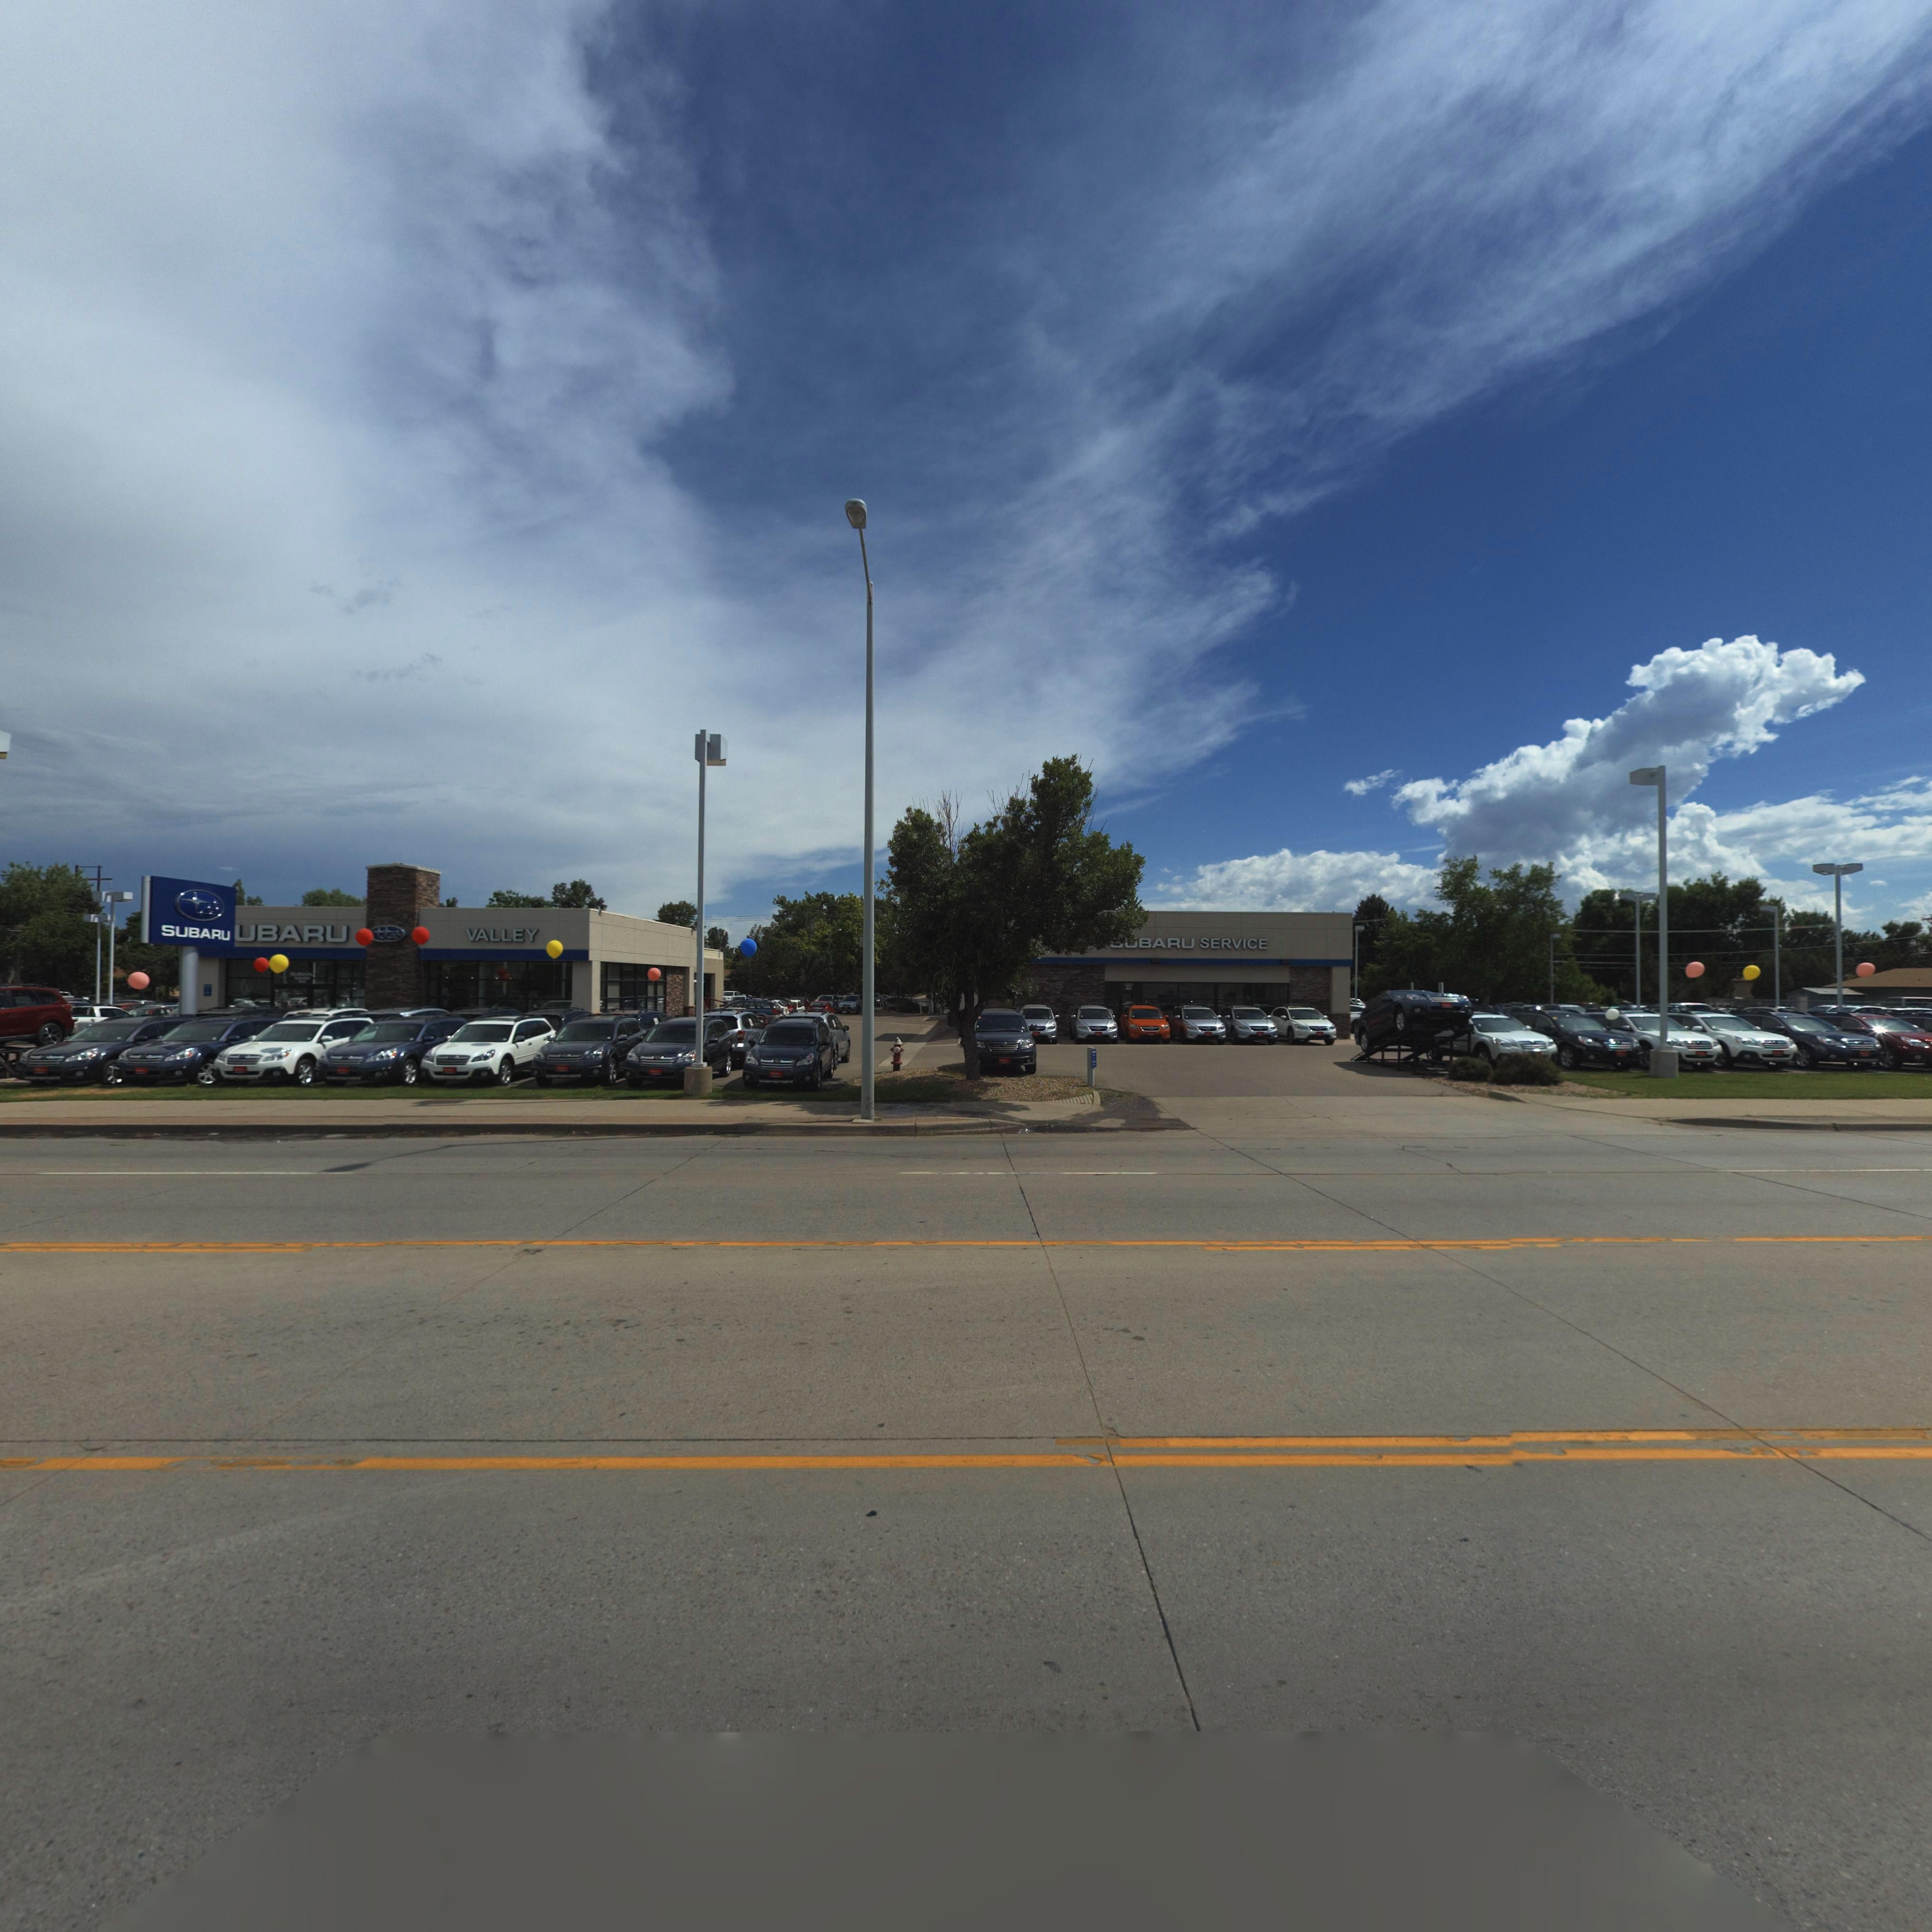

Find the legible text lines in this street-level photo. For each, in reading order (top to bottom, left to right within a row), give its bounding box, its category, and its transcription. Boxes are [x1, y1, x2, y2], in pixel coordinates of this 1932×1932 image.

[160, 924, 231, 941] BusinessName: SUBARU
[234, 923, 349, 943] BusinessName: UBARU
[464, 927, 539, 943] BusinessName: VALLEY